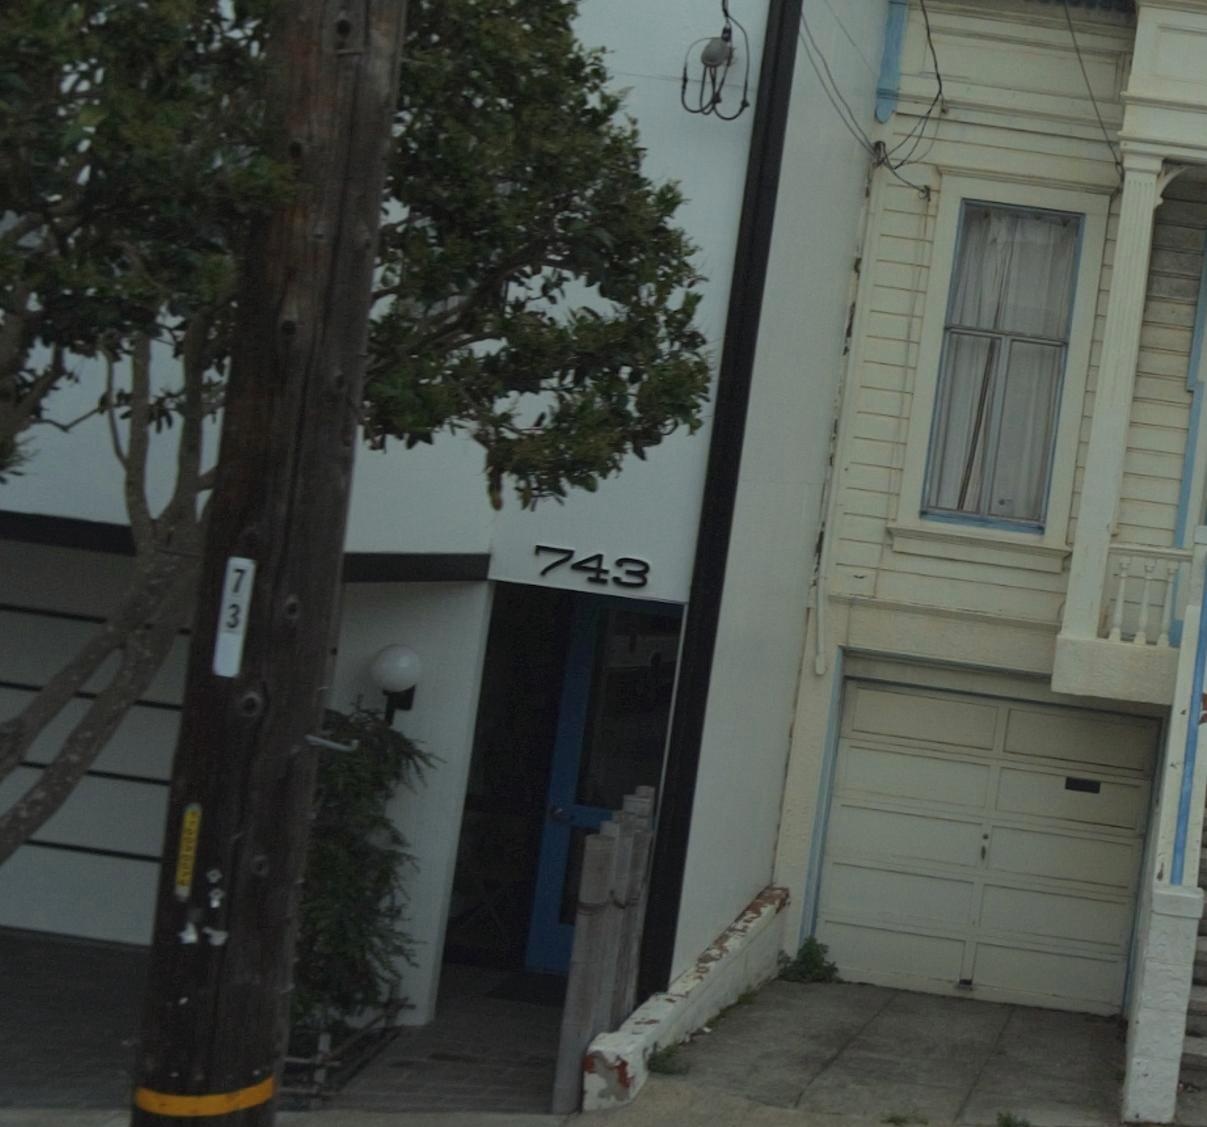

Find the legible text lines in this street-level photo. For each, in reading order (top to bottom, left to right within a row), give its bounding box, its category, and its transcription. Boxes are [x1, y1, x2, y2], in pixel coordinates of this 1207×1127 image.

[531, 543, 652, 591] StreetNumber: 743
[223, 568, 248, 630] None: 73